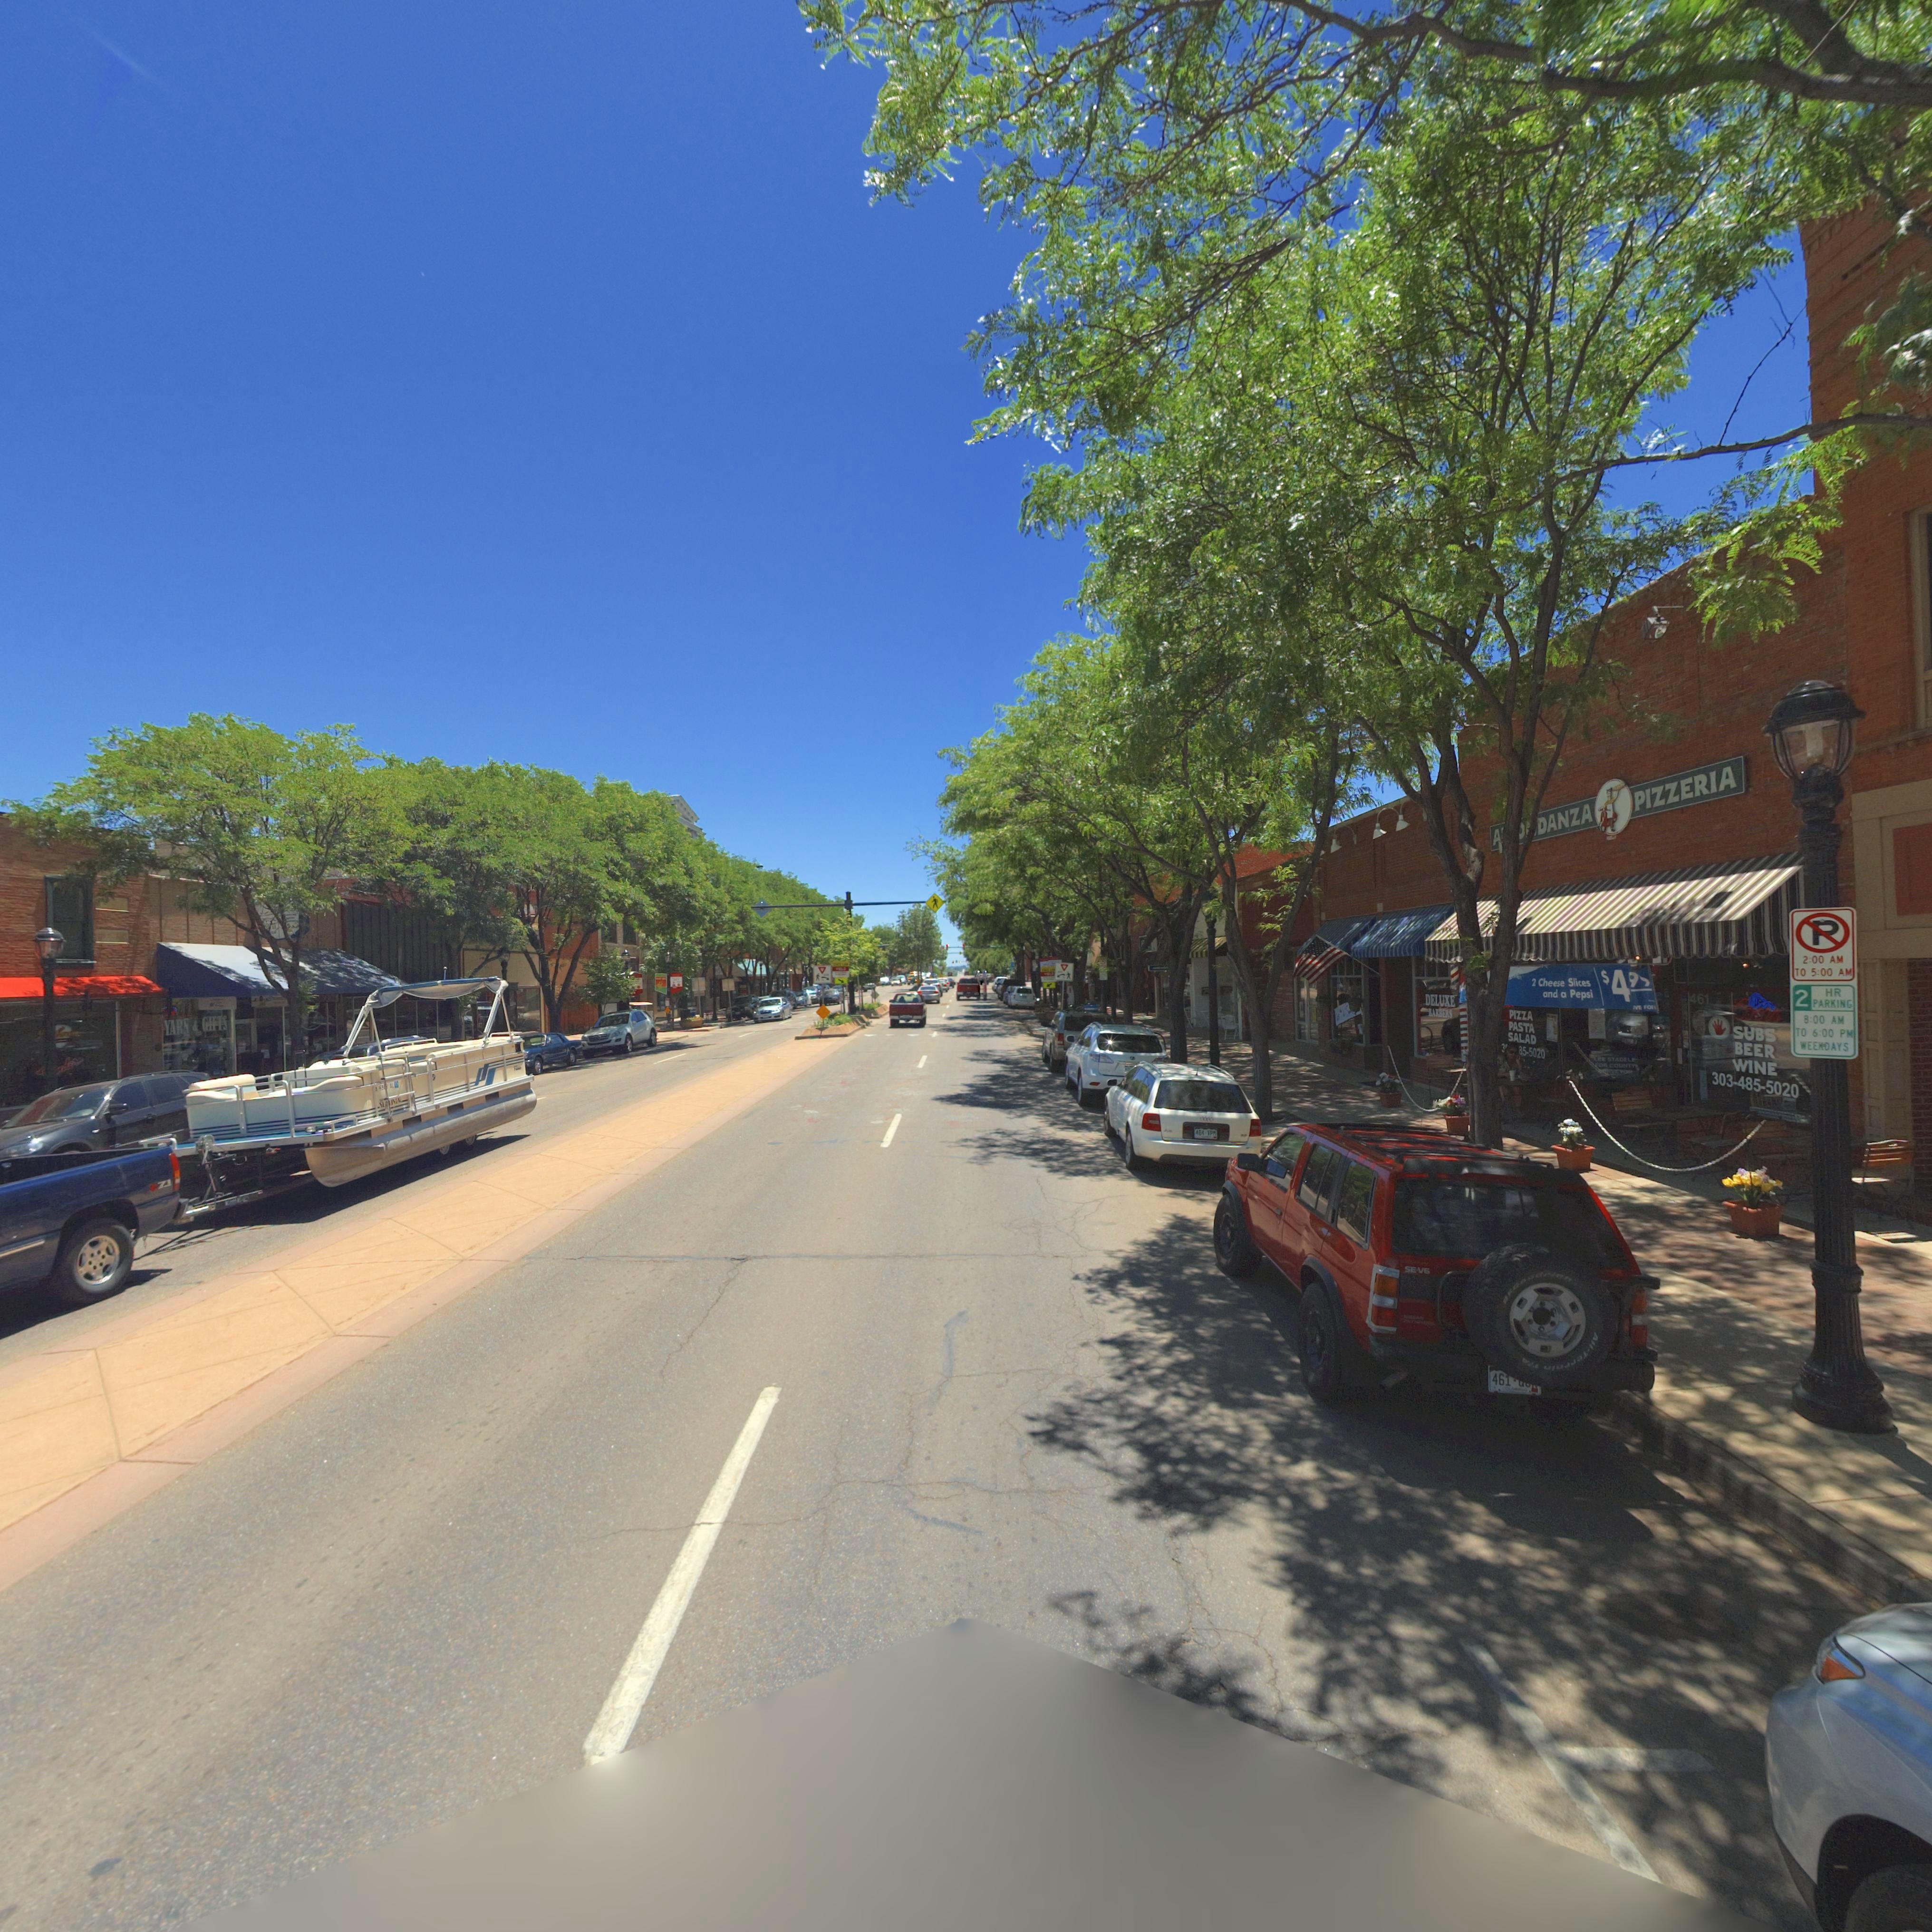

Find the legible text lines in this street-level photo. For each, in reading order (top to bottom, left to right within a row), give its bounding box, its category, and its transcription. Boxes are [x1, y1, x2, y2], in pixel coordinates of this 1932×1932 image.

[1492, 765, 1739, 846] BusinessName: A***DANZA PIZZERIA
[1424, 992, 1456, 1008] StreetName: DELUXE
[1688, 992, 1710, 1005] StreetNumber: 461
[1428, 1008, 1452, 1019] BusinessName: BARBERS